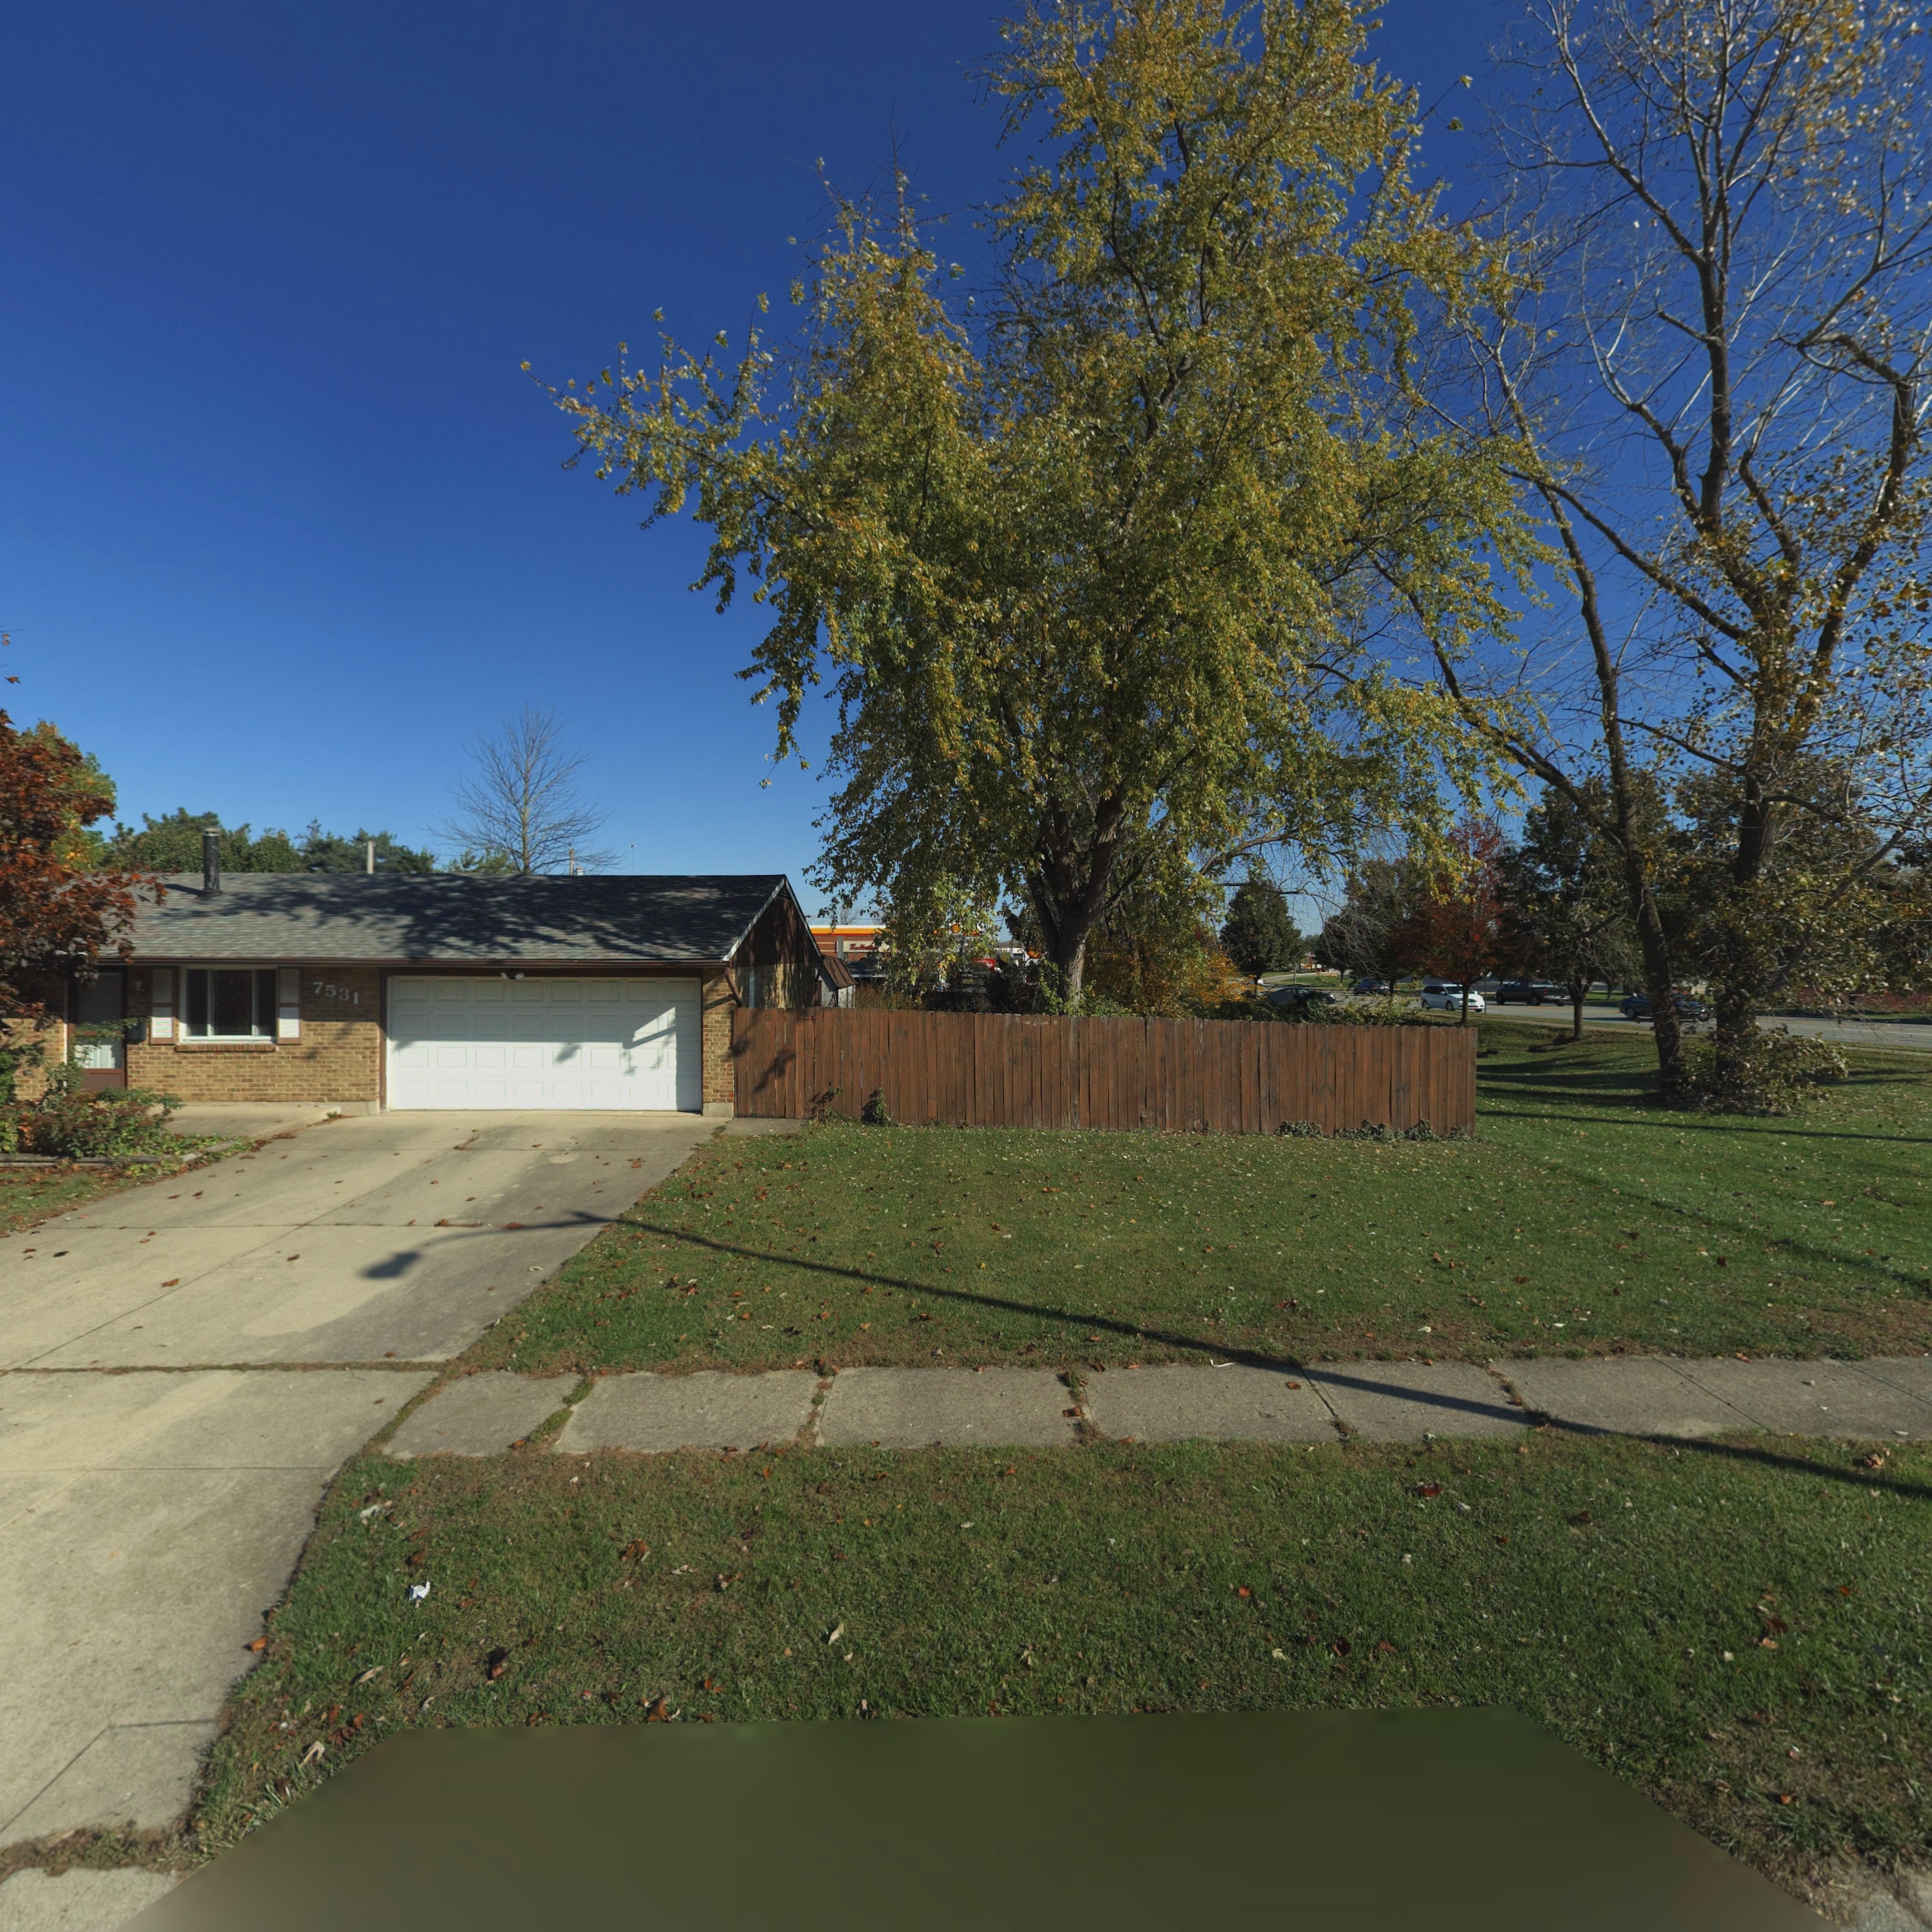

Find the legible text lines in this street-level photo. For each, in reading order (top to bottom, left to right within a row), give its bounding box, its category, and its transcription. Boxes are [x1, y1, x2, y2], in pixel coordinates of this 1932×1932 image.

[311, 981, 359, 1006] StreetNumber: 7531